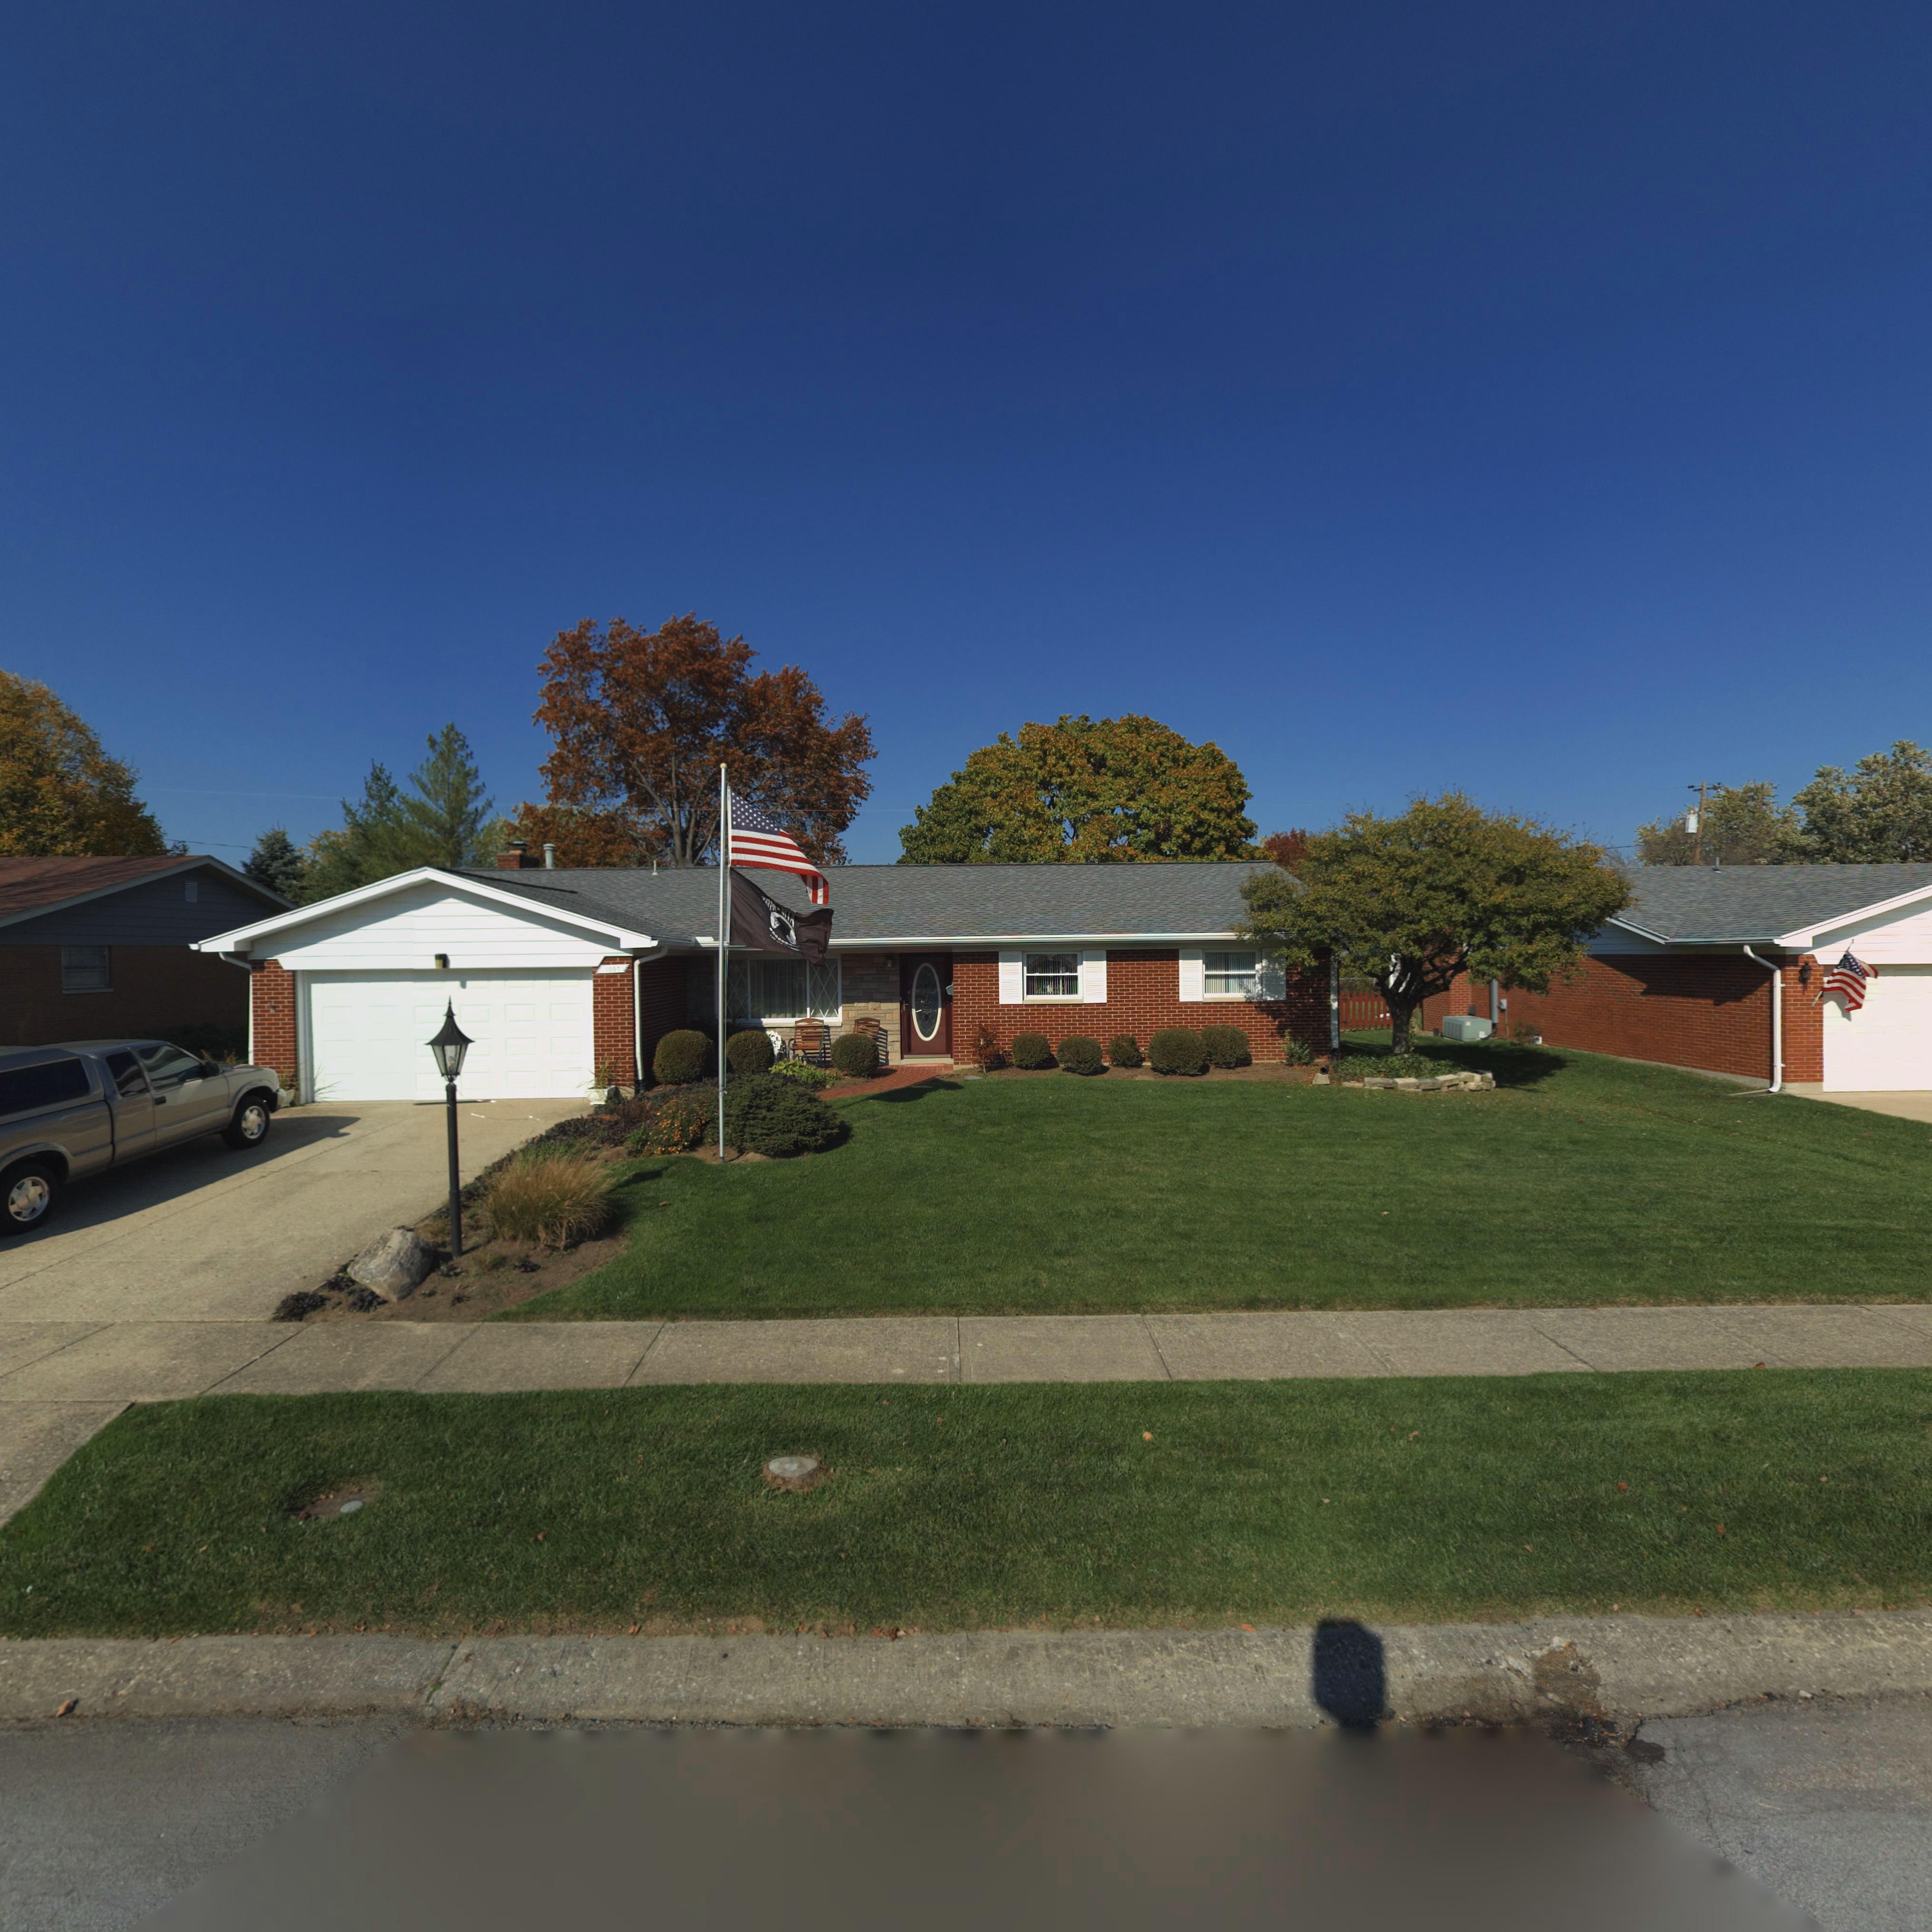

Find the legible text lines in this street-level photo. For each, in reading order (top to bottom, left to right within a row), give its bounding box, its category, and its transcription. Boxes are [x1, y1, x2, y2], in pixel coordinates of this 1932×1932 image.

[605, 966, 620, 973] StreetNumber: 1007
[367, 1240, 394, 1259] StreetNumber: 007